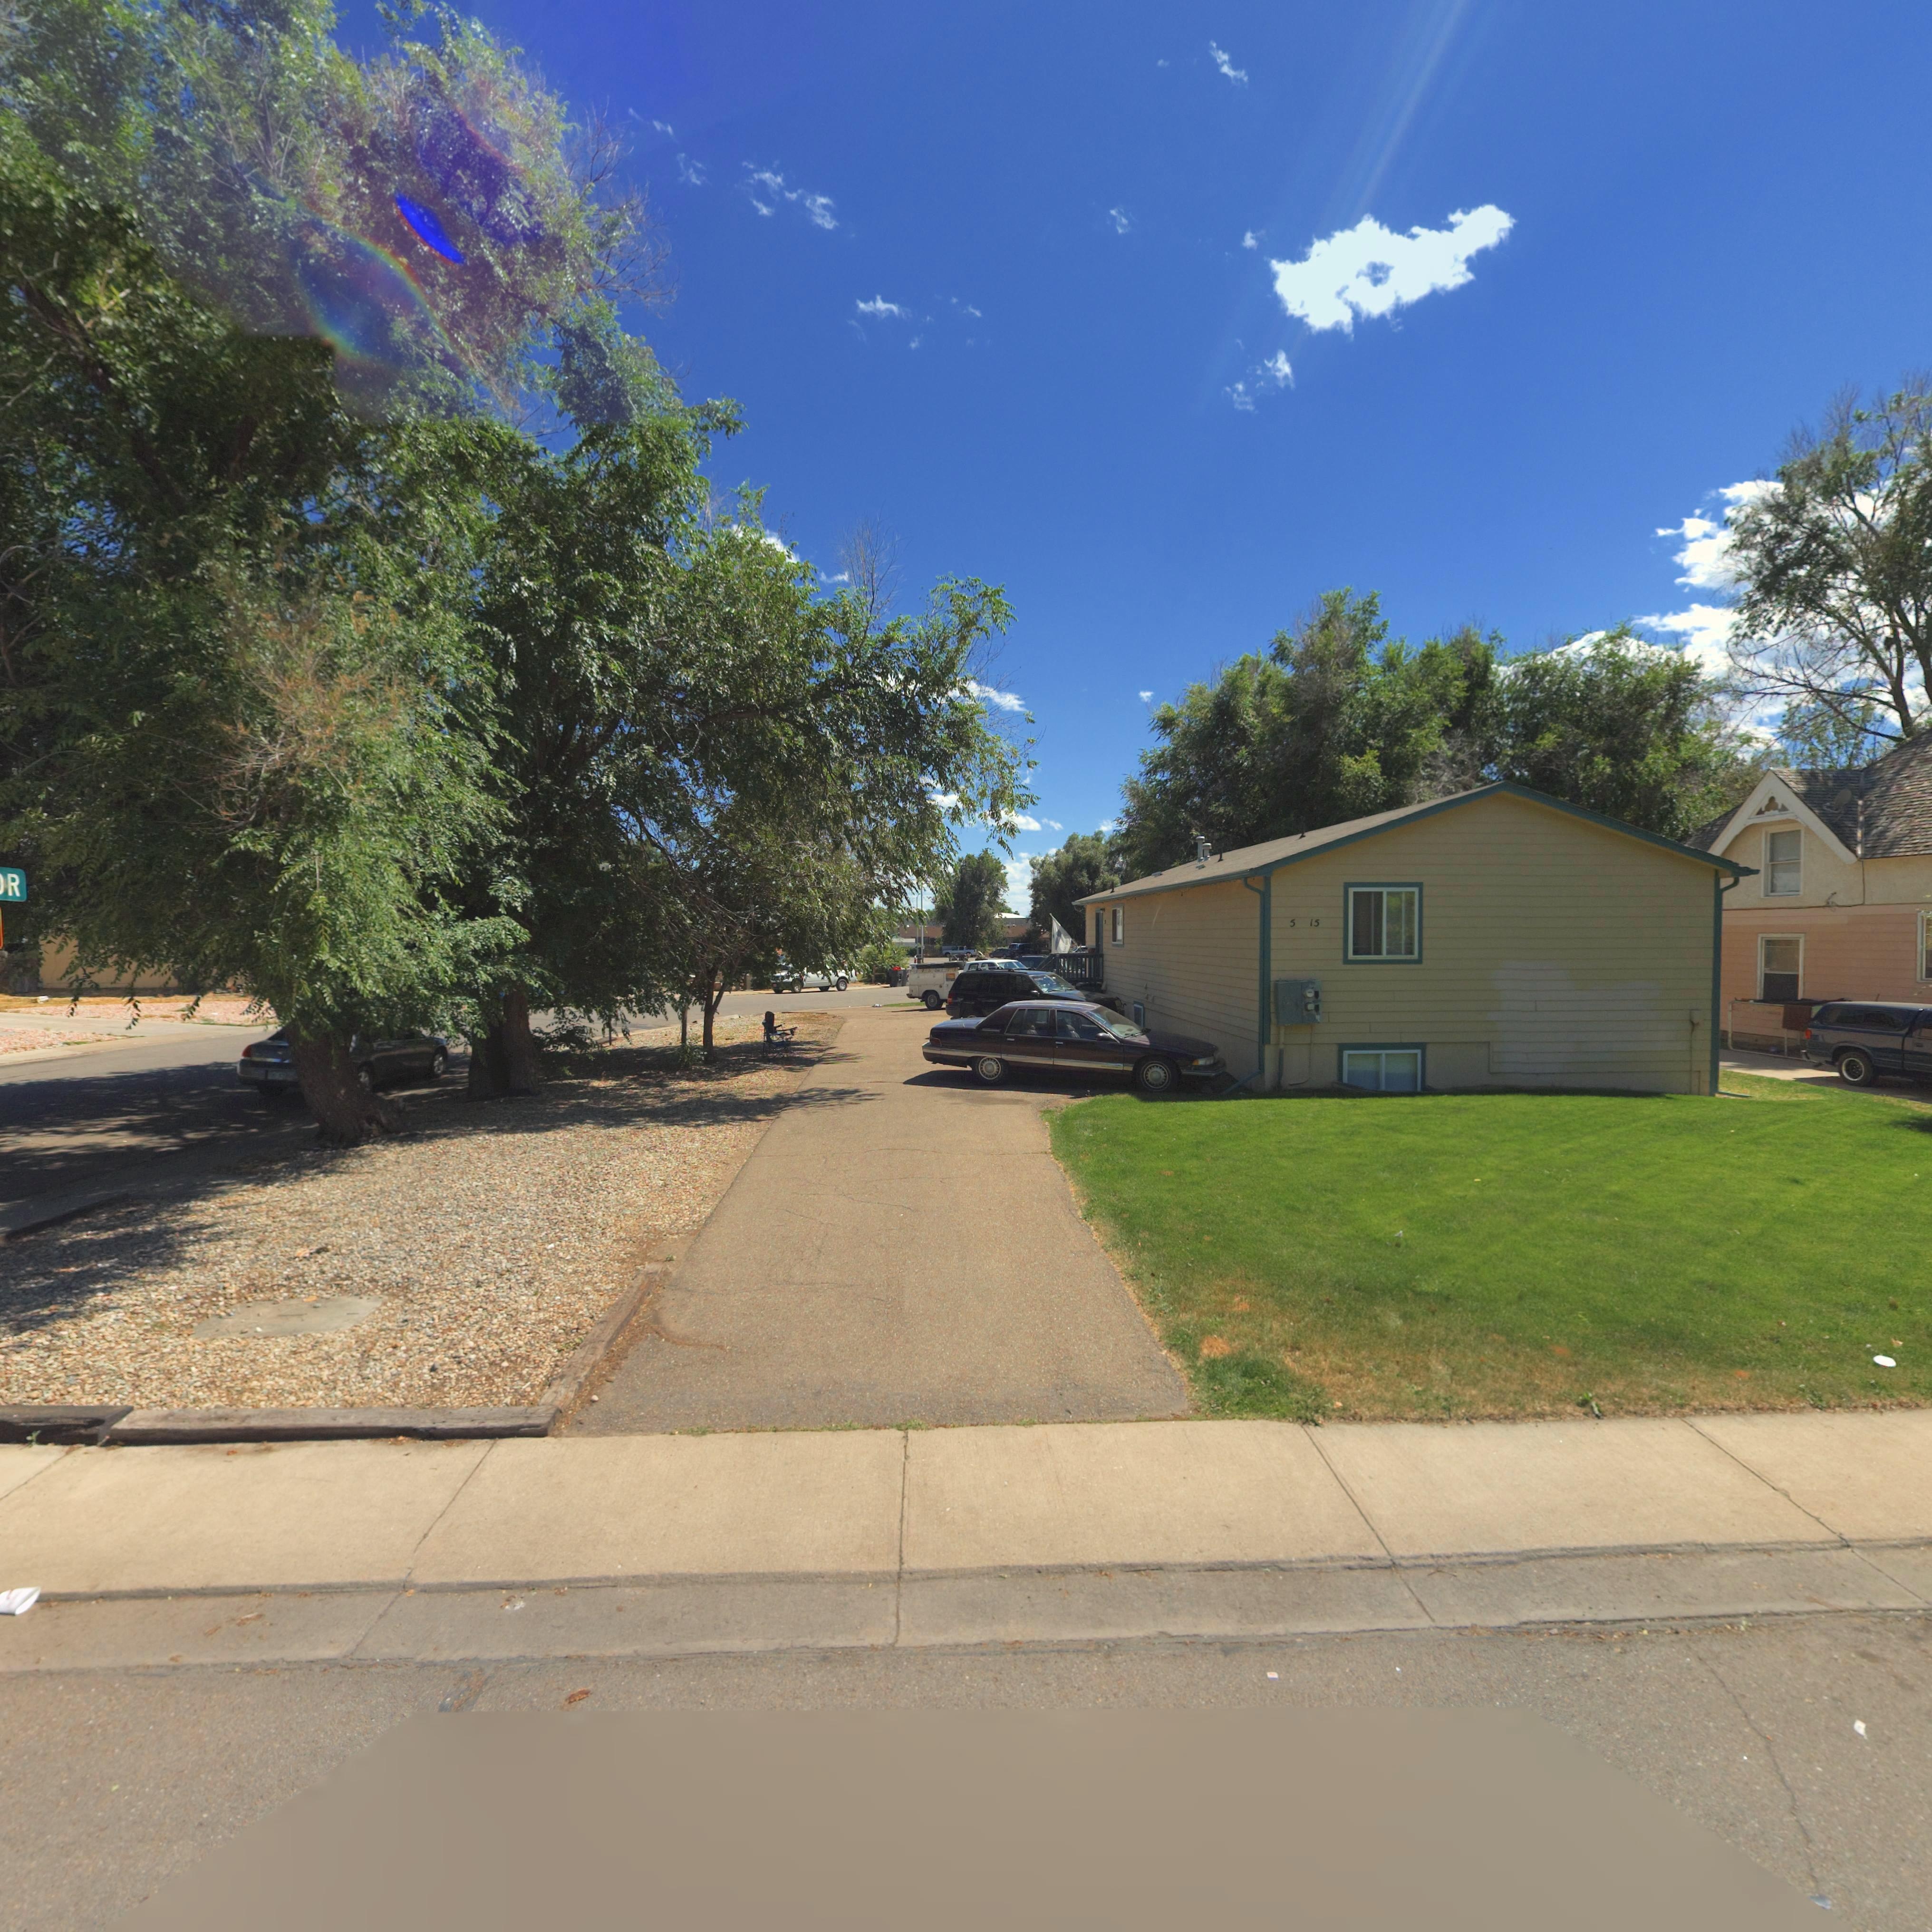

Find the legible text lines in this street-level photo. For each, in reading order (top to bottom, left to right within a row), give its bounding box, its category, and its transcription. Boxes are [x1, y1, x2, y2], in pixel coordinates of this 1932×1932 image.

[7, 873, 20, 897] StreetName: R
[1289, 918, 1295, 927] StreetNumber: 5
[1310, 918, 1320, 927] StreetNumber: 15